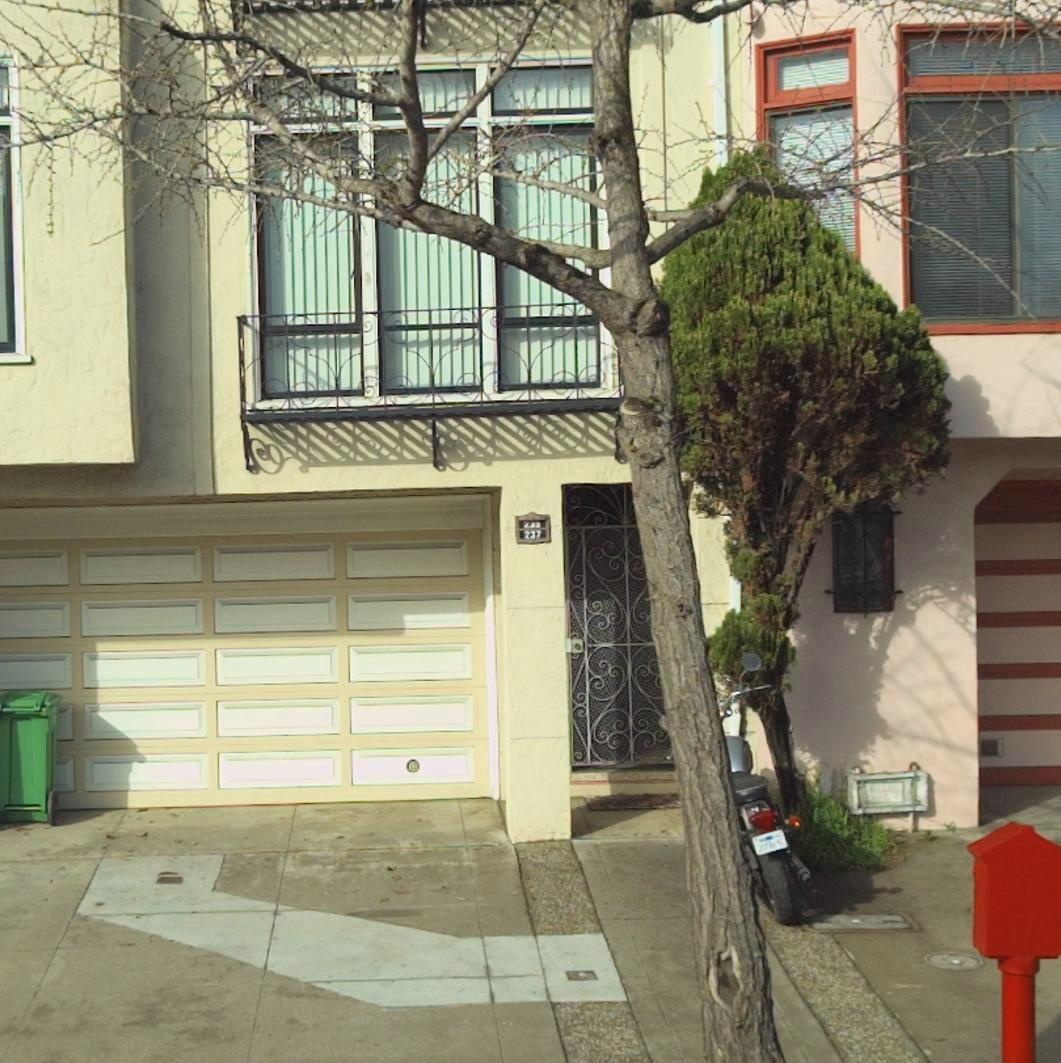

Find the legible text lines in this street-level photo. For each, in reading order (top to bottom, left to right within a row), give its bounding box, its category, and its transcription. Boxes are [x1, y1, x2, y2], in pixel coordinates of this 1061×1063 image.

[522, 528, 543, 541] StreetNumber: 237